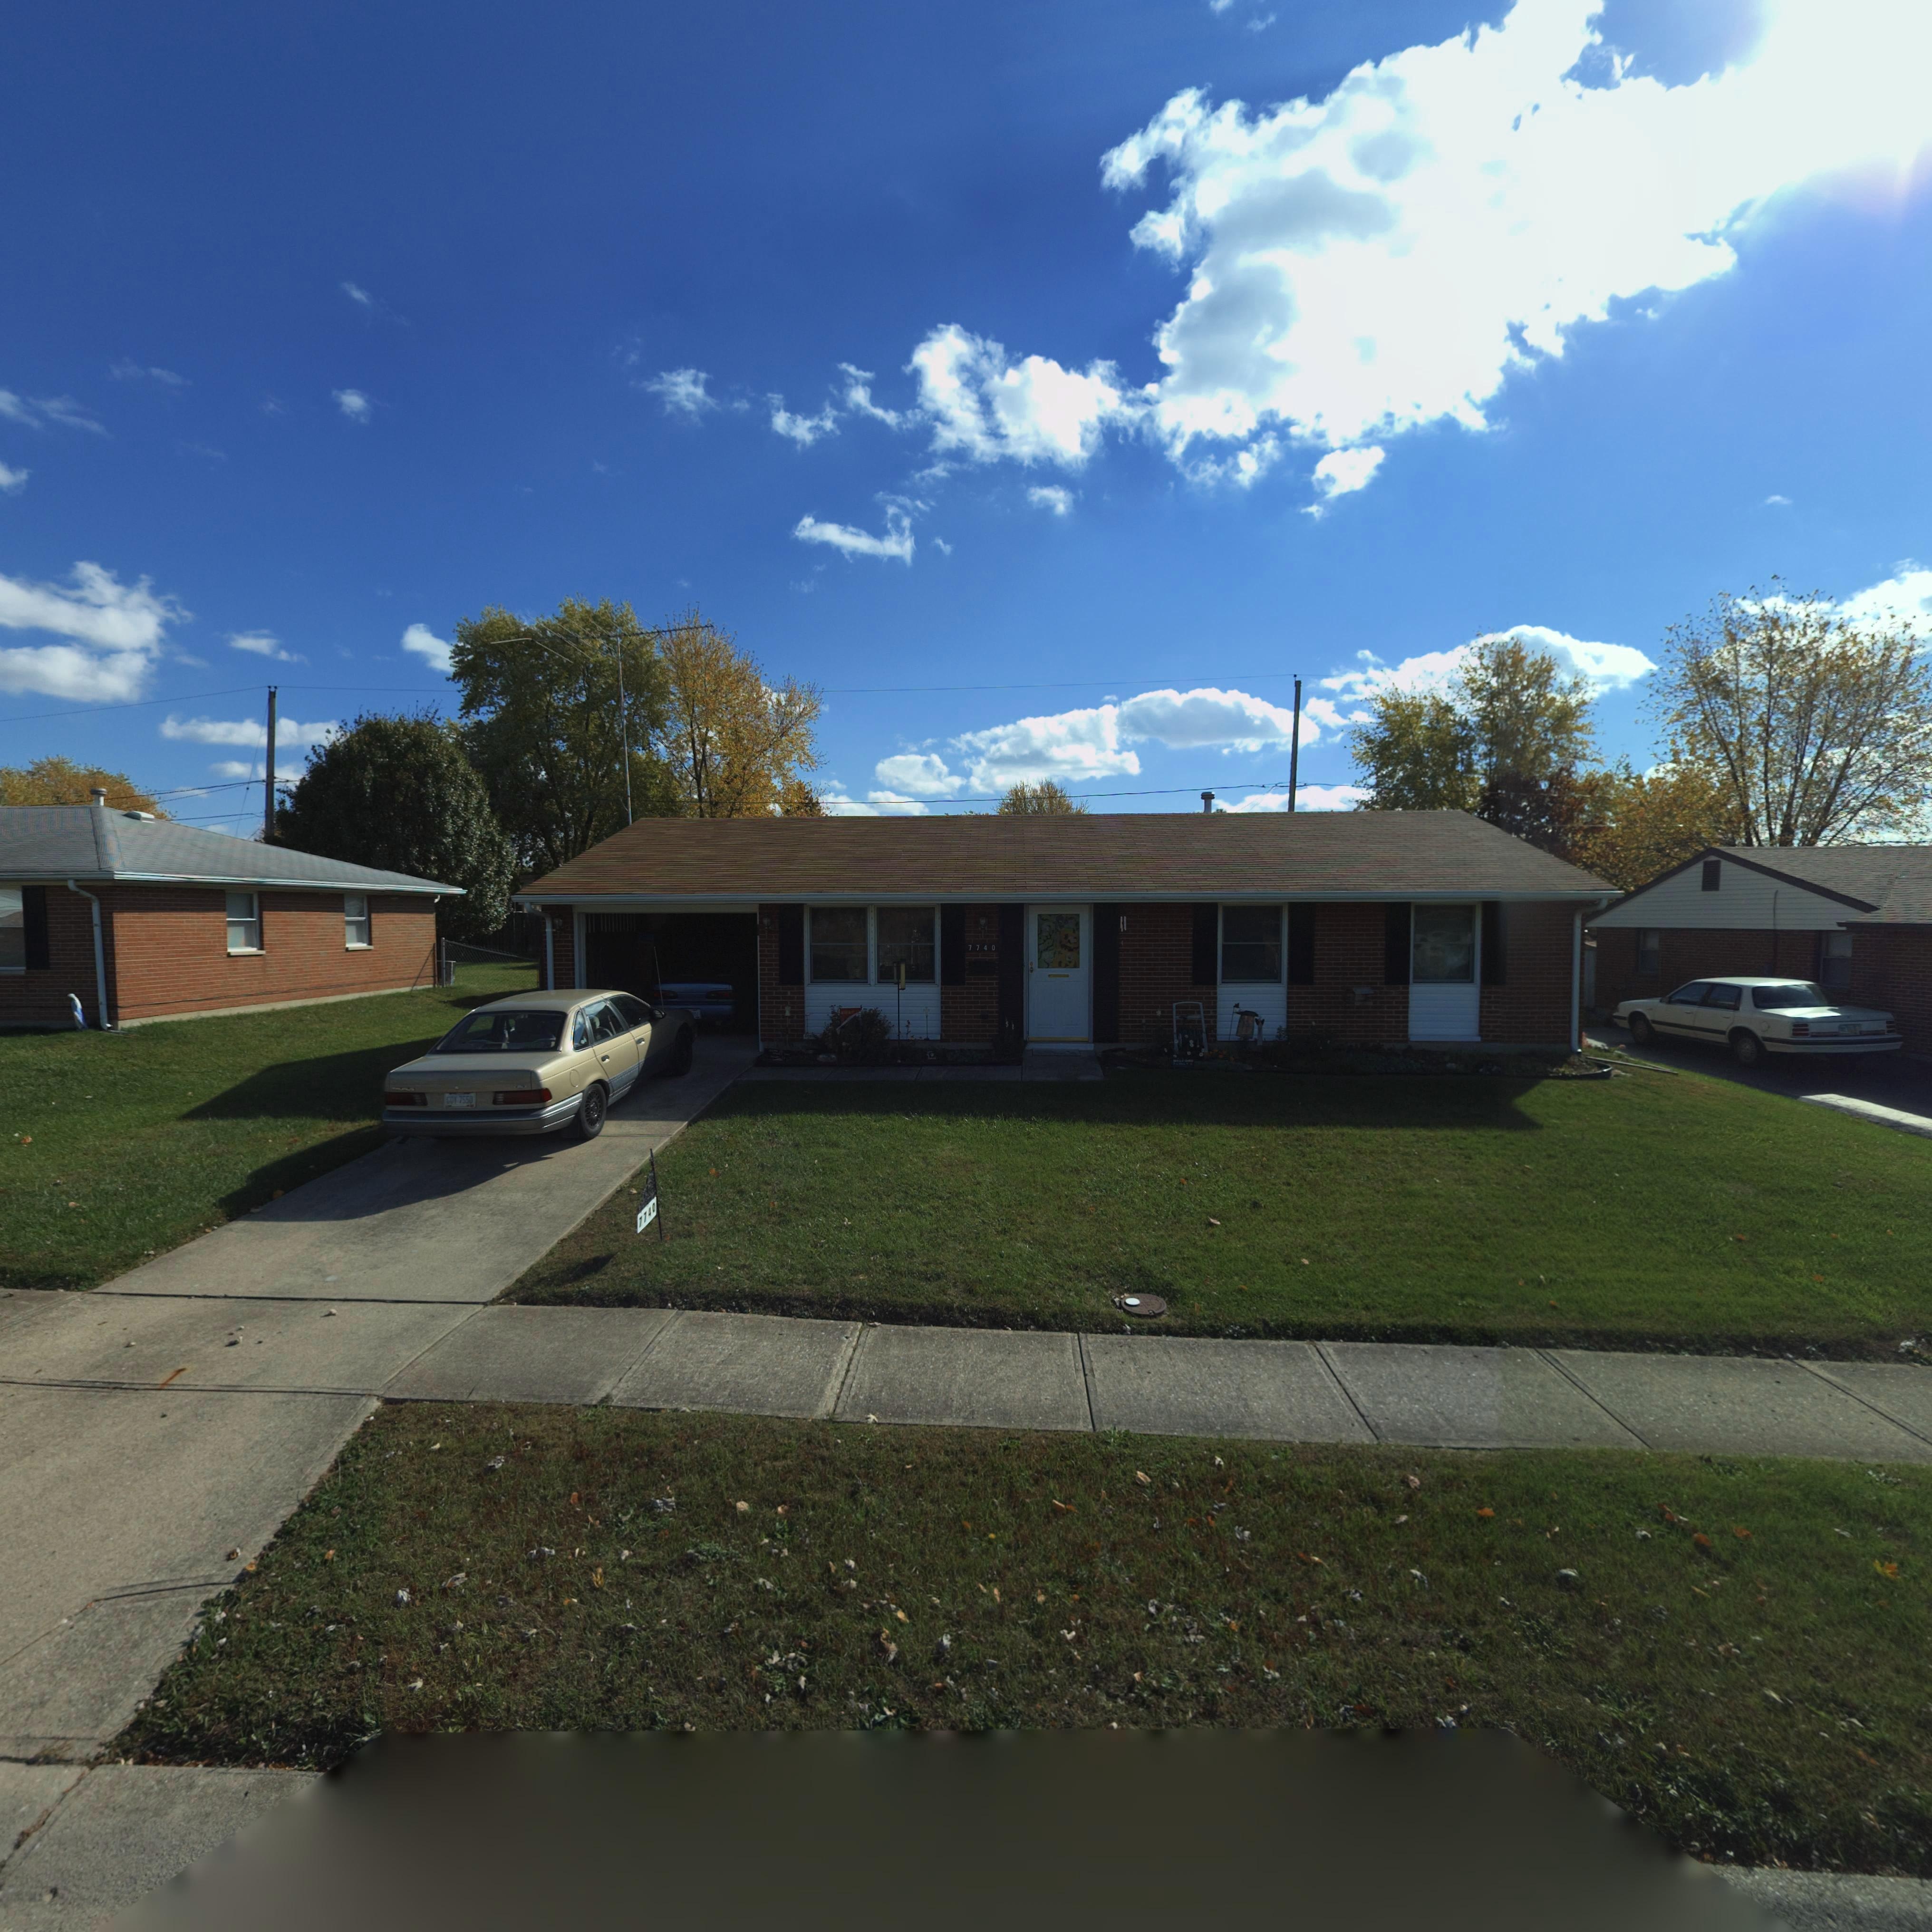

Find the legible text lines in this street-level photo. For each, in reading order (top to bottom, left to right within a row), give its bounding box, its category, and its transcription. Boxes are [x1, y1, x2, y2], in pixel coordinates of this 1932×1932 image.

[967, 944, 996, 951] StreetNumber: 7740
[638, 1201, 656, 1229] StreetNumber: 7740